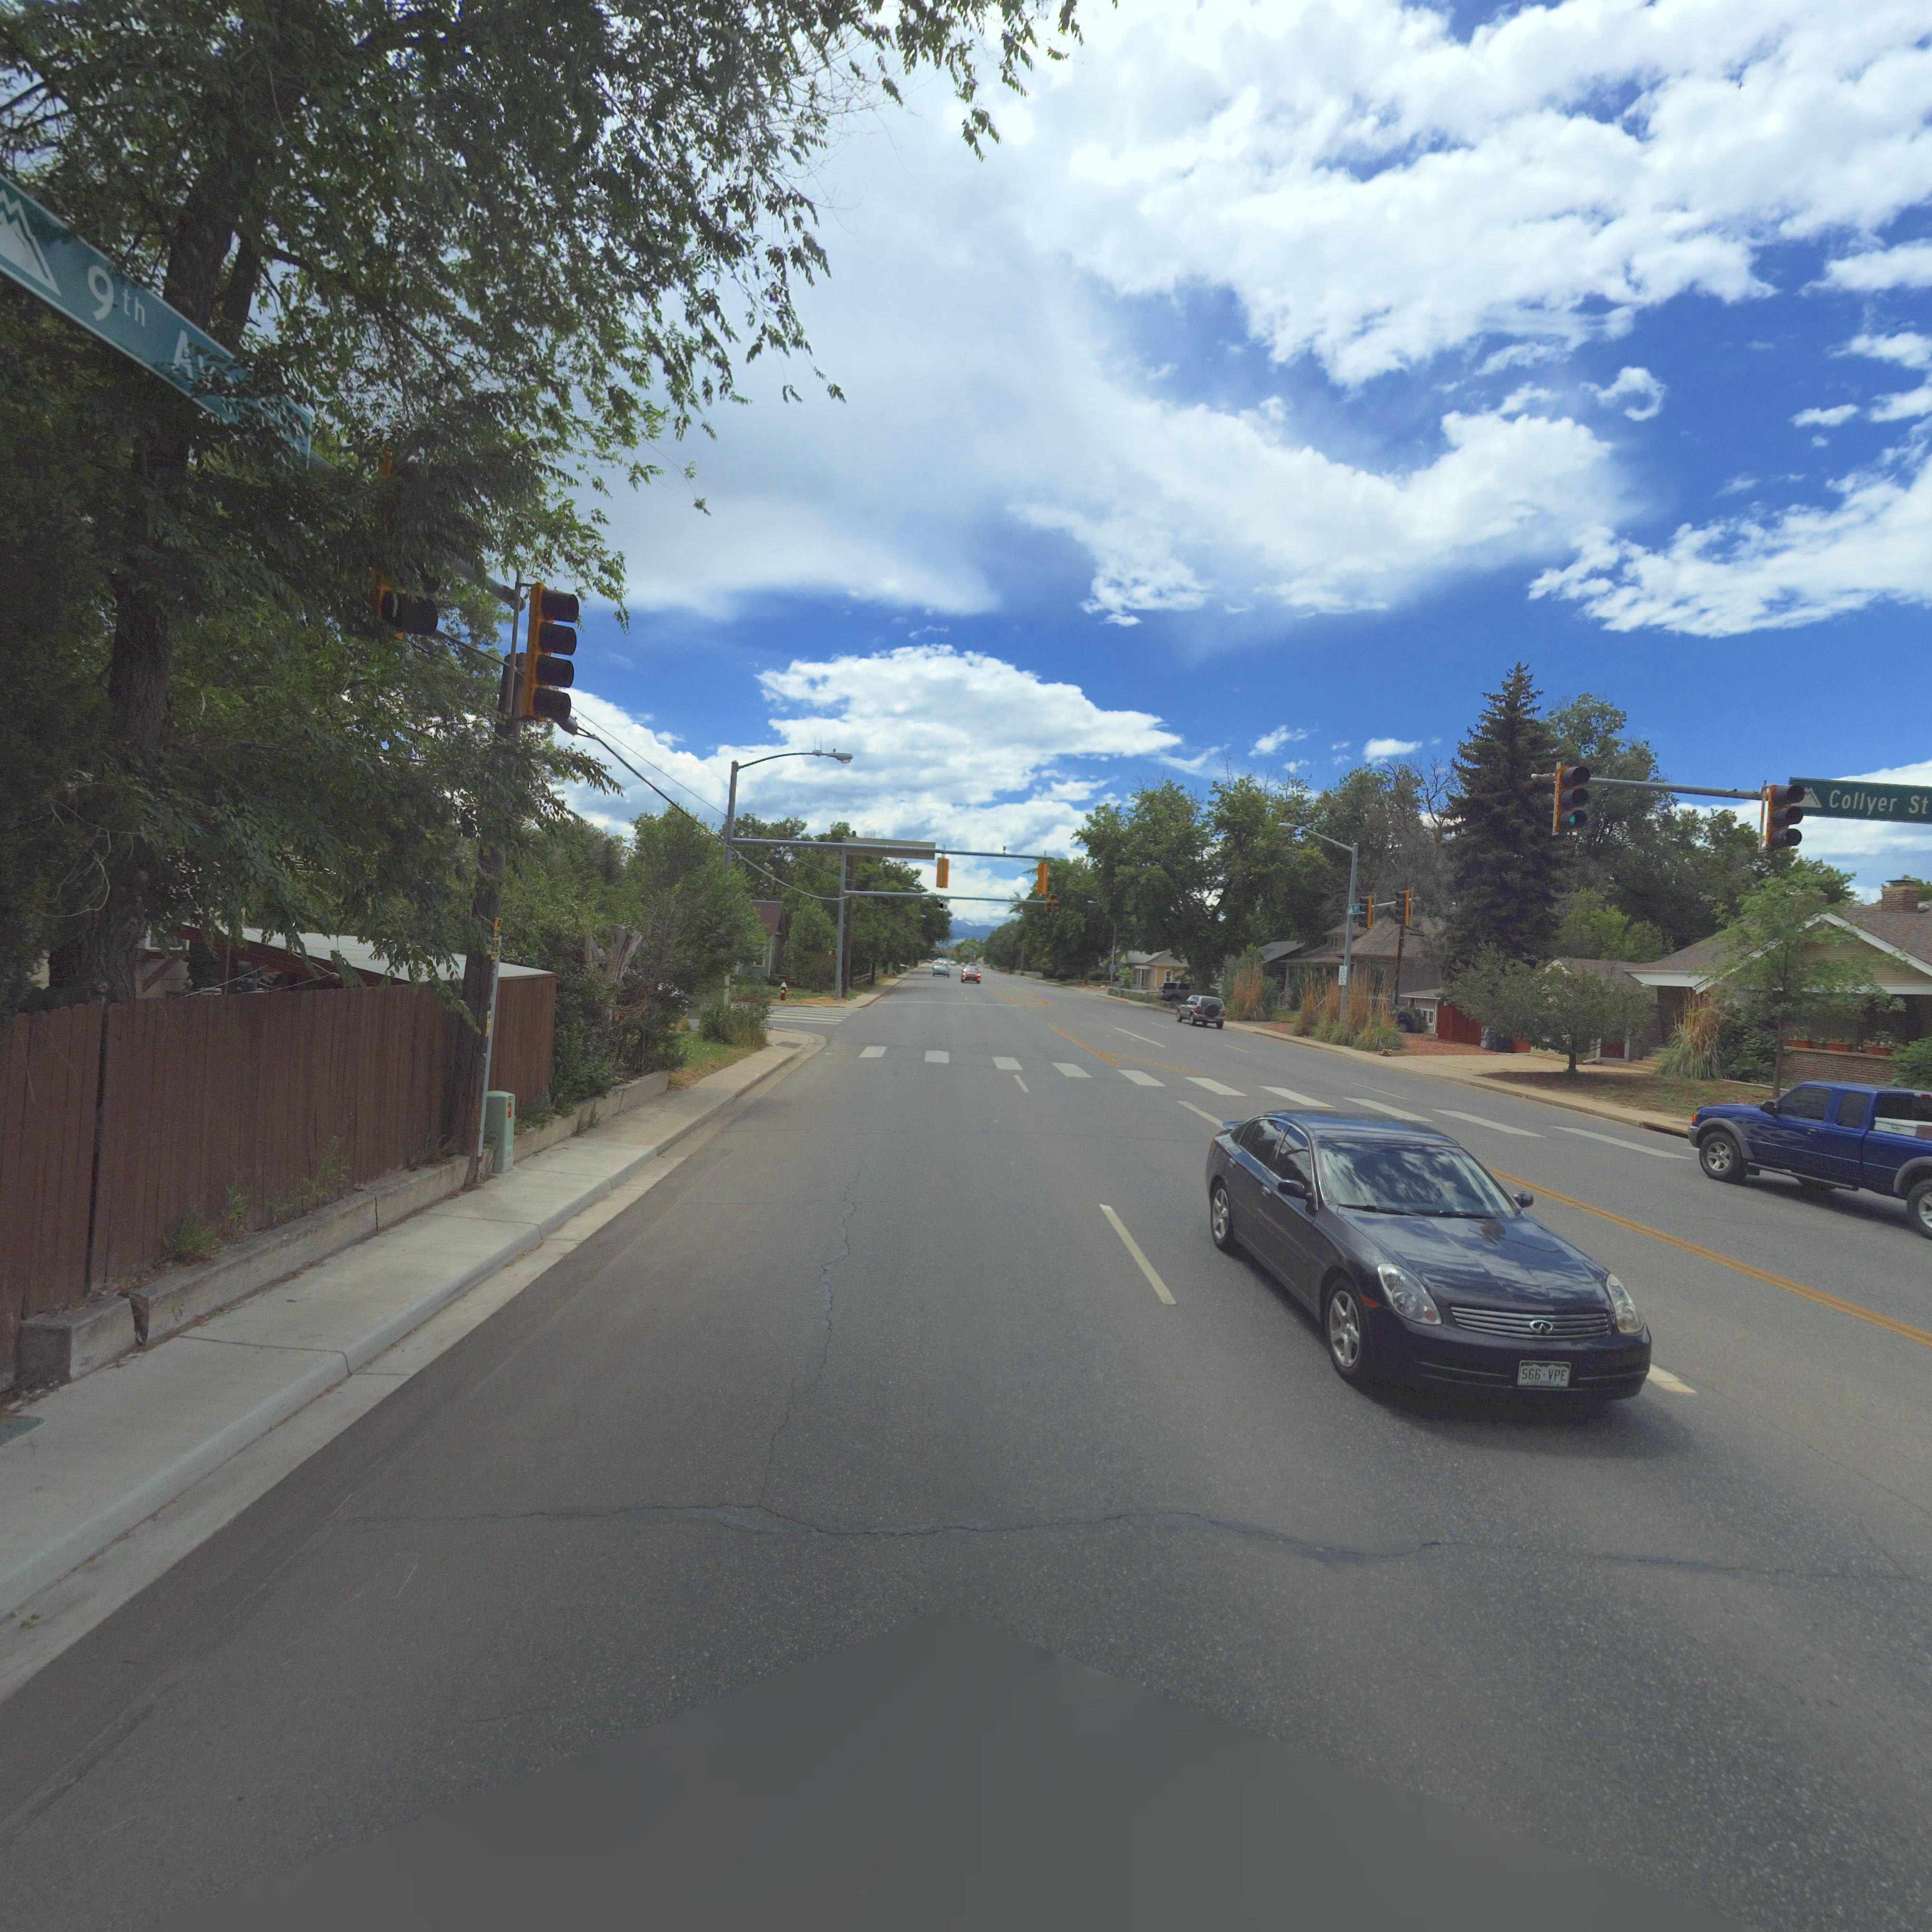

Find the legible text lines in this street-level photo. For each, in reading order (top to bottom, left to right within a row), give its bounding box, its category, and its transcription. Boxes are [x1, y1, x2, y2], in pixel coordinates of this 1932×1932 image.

[86, 263, 240, 417] StreetName: 9th A**
[1829, 789, 1930, 815] StreetName: Collyer St
[1353, 905, 1360, 912] StreetName: 9*